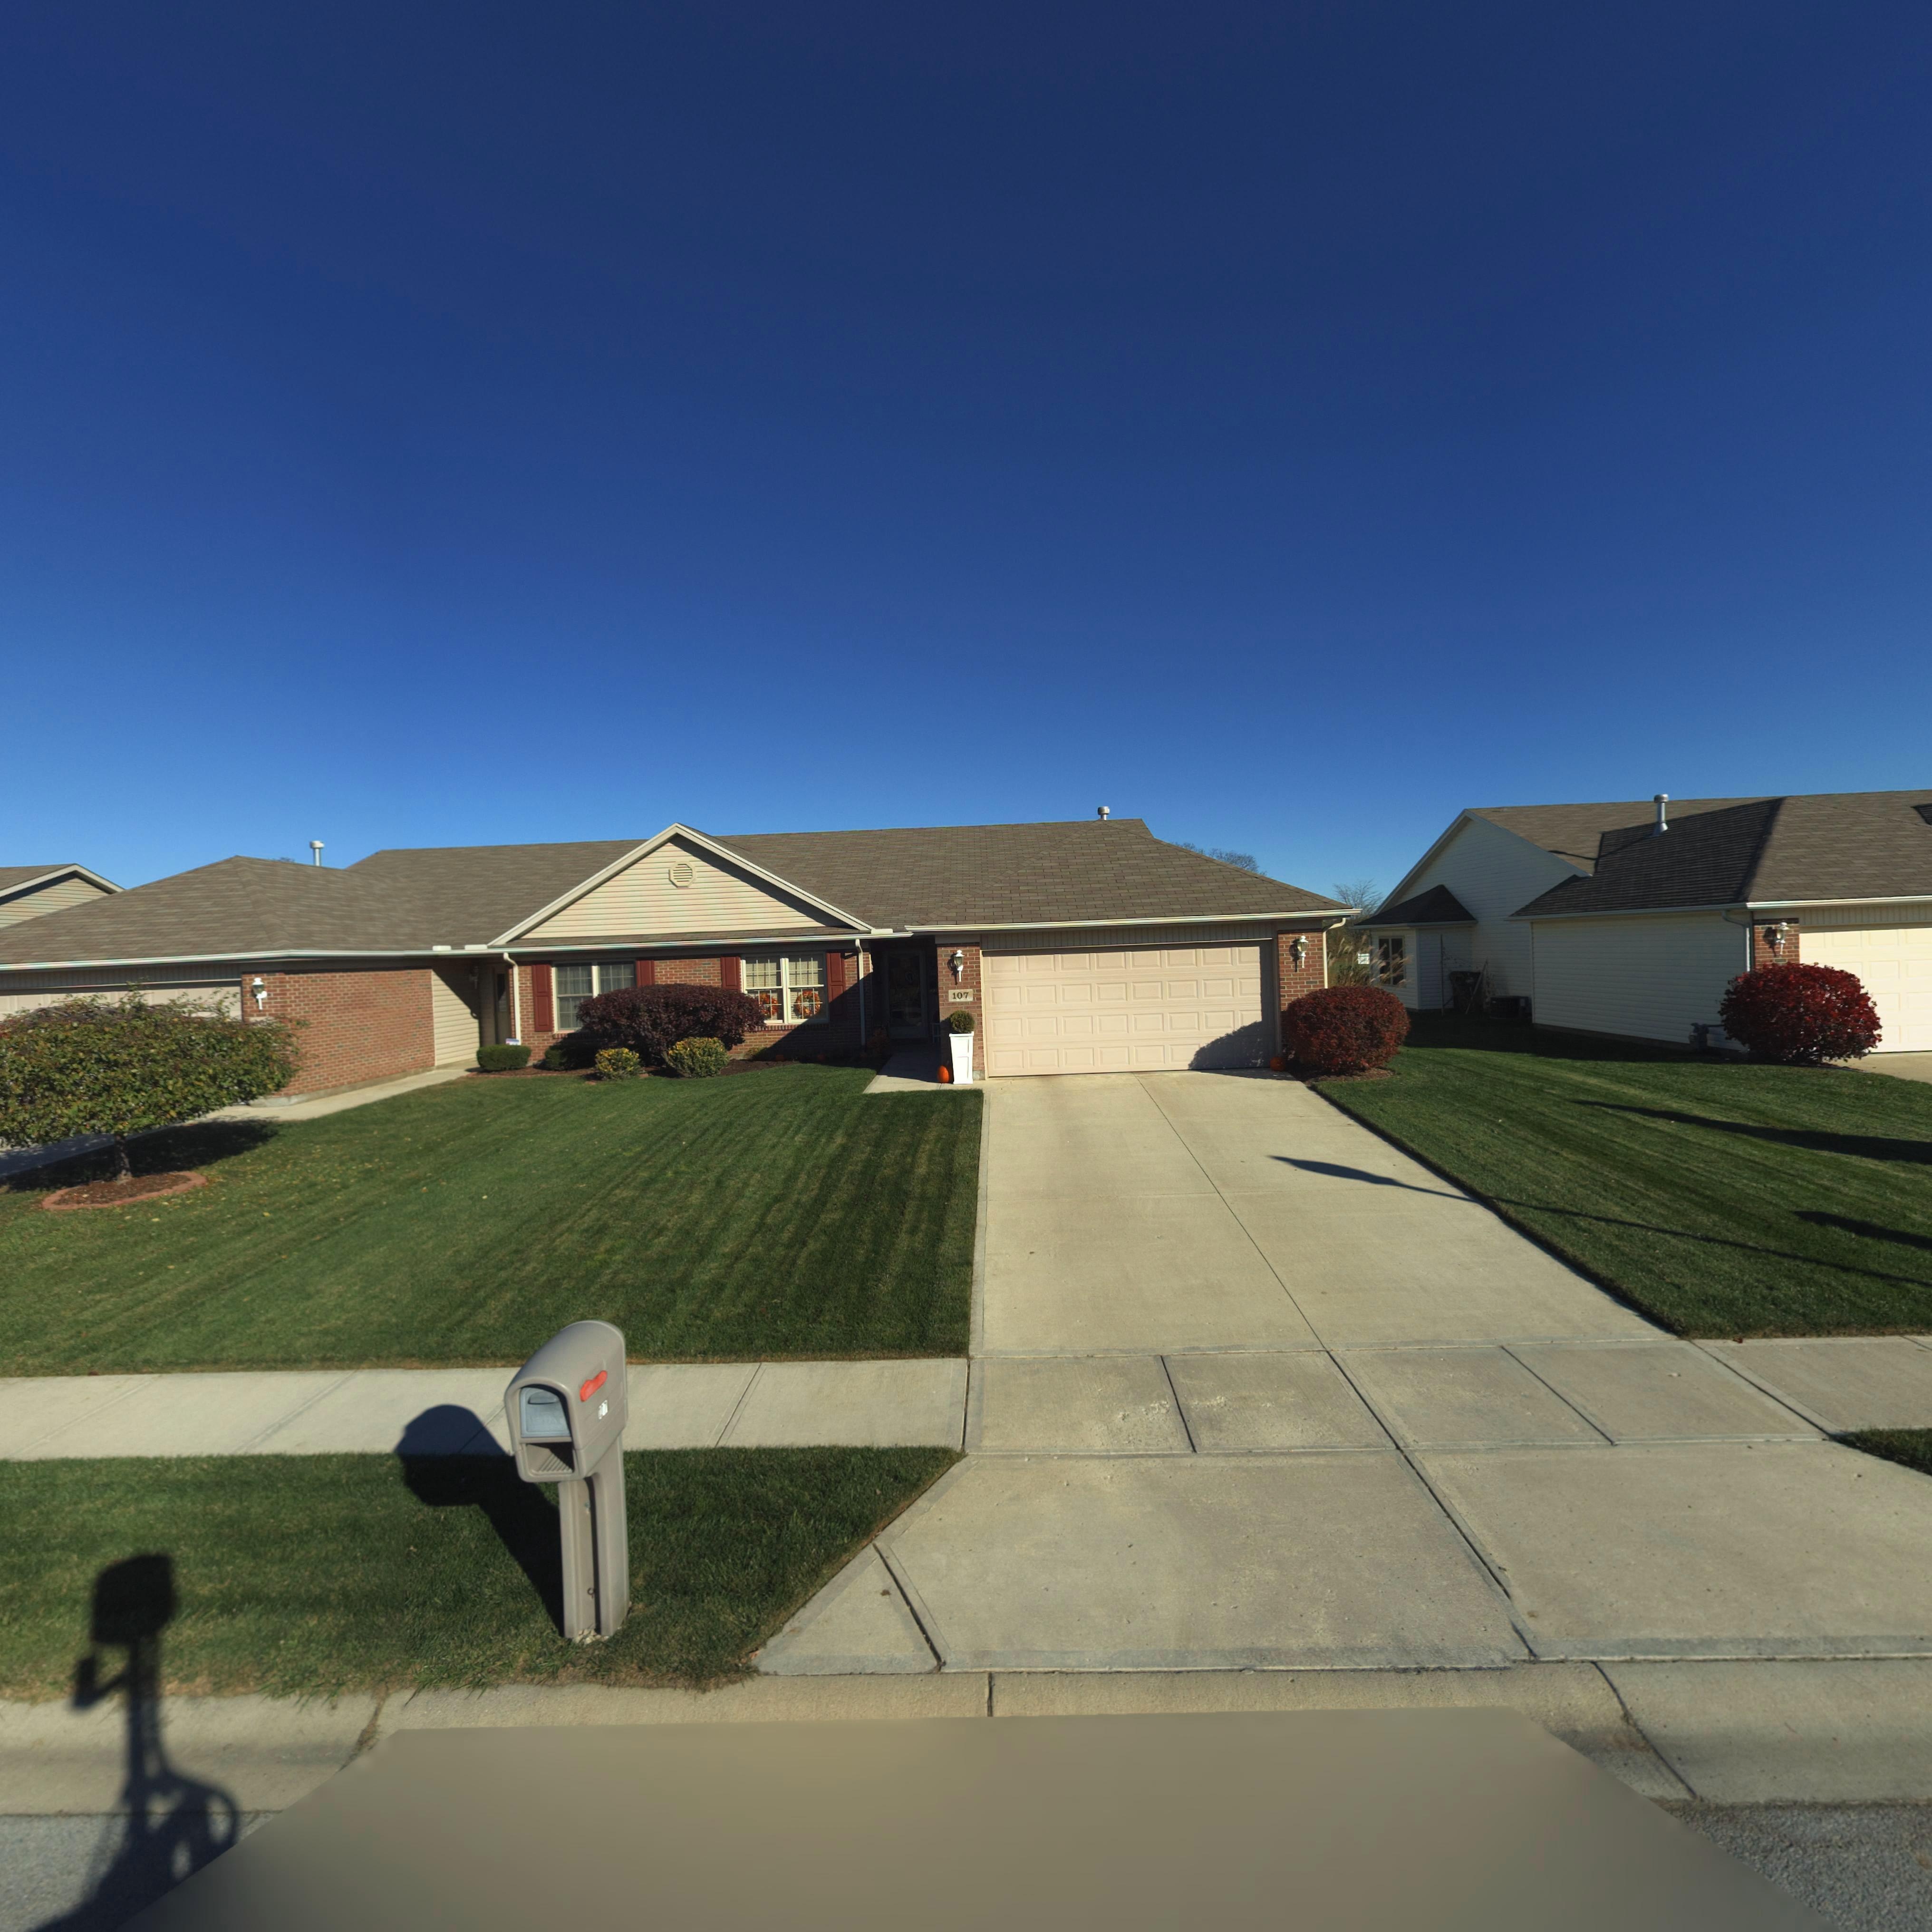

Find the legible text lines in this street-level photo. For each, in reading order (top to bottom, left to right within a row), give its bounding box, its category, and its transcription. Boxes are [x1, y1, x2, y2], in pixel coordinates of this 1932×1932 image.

[951, 991, 969, 1000] StreetNumber: 107